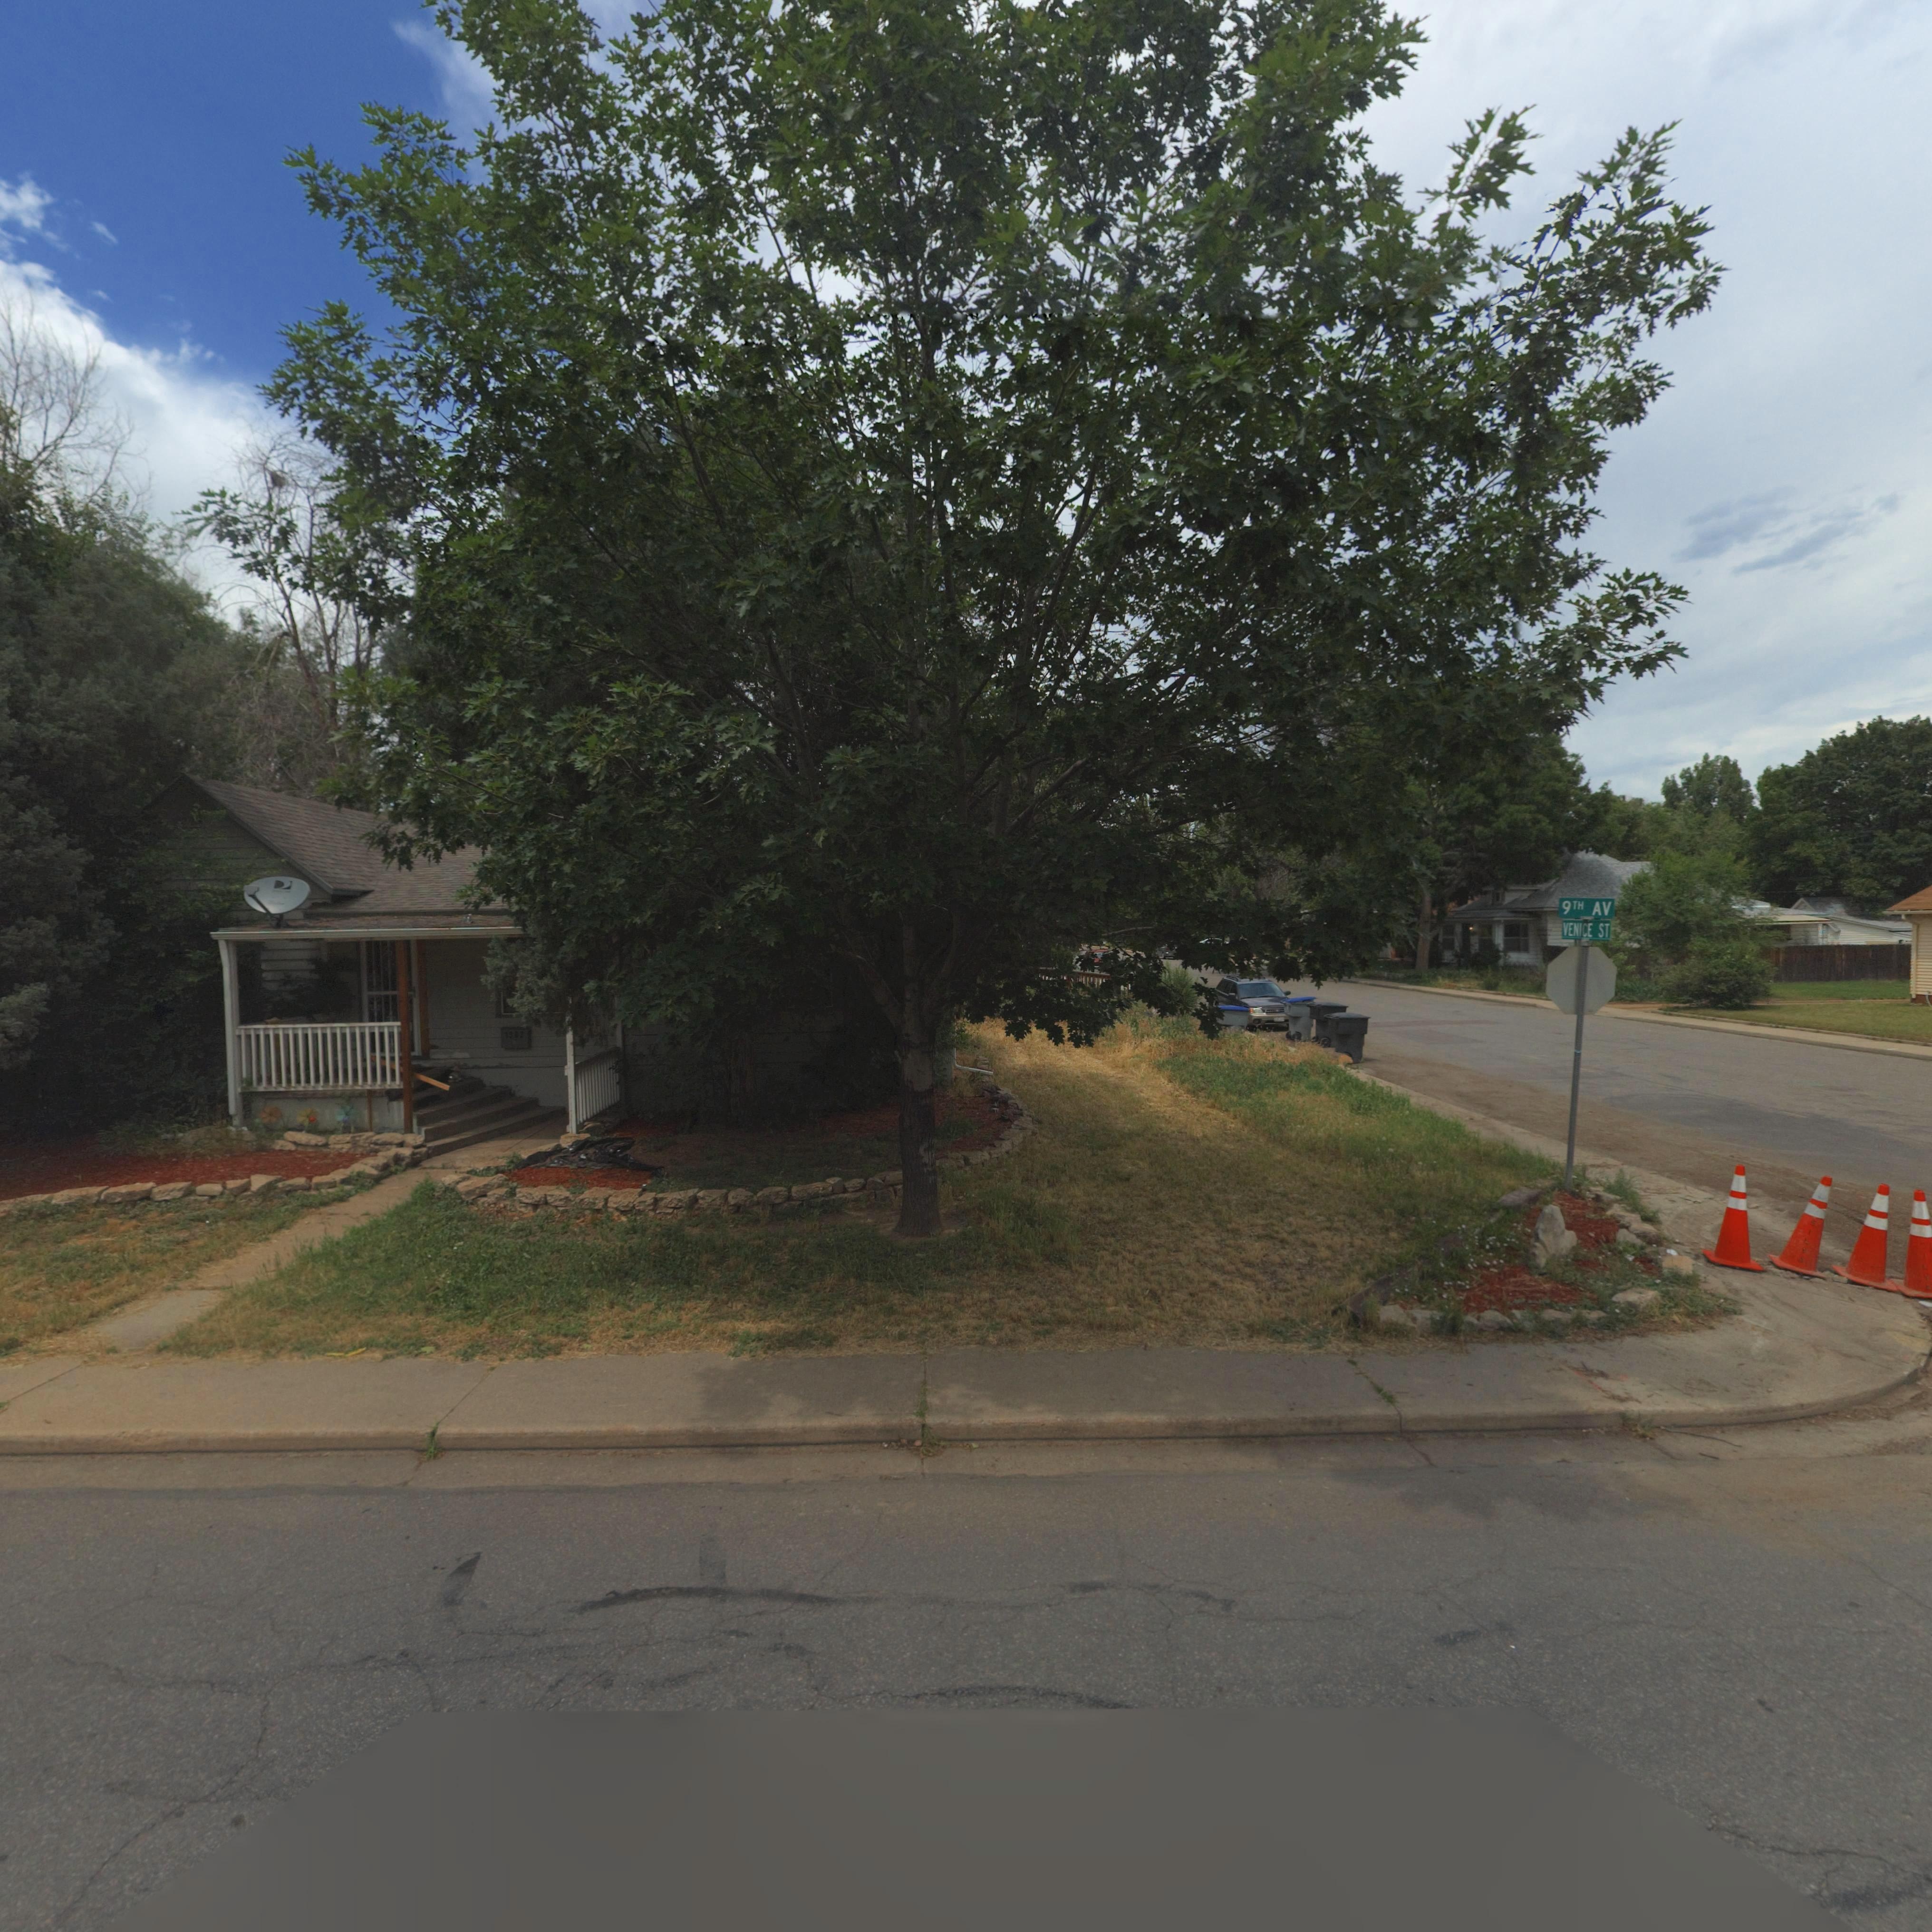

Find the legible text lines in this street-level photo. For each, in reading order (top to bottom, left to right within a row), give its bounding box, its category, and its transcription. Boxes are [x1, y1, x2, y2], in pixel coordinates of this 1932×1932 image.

[1561, 900, 1612, 916] StreetName: 9TH AV
[1562, 921, 1610, 938] StreetName: VENICE ST
[504, 1030, 524, 1038] StreetNumber: 1302